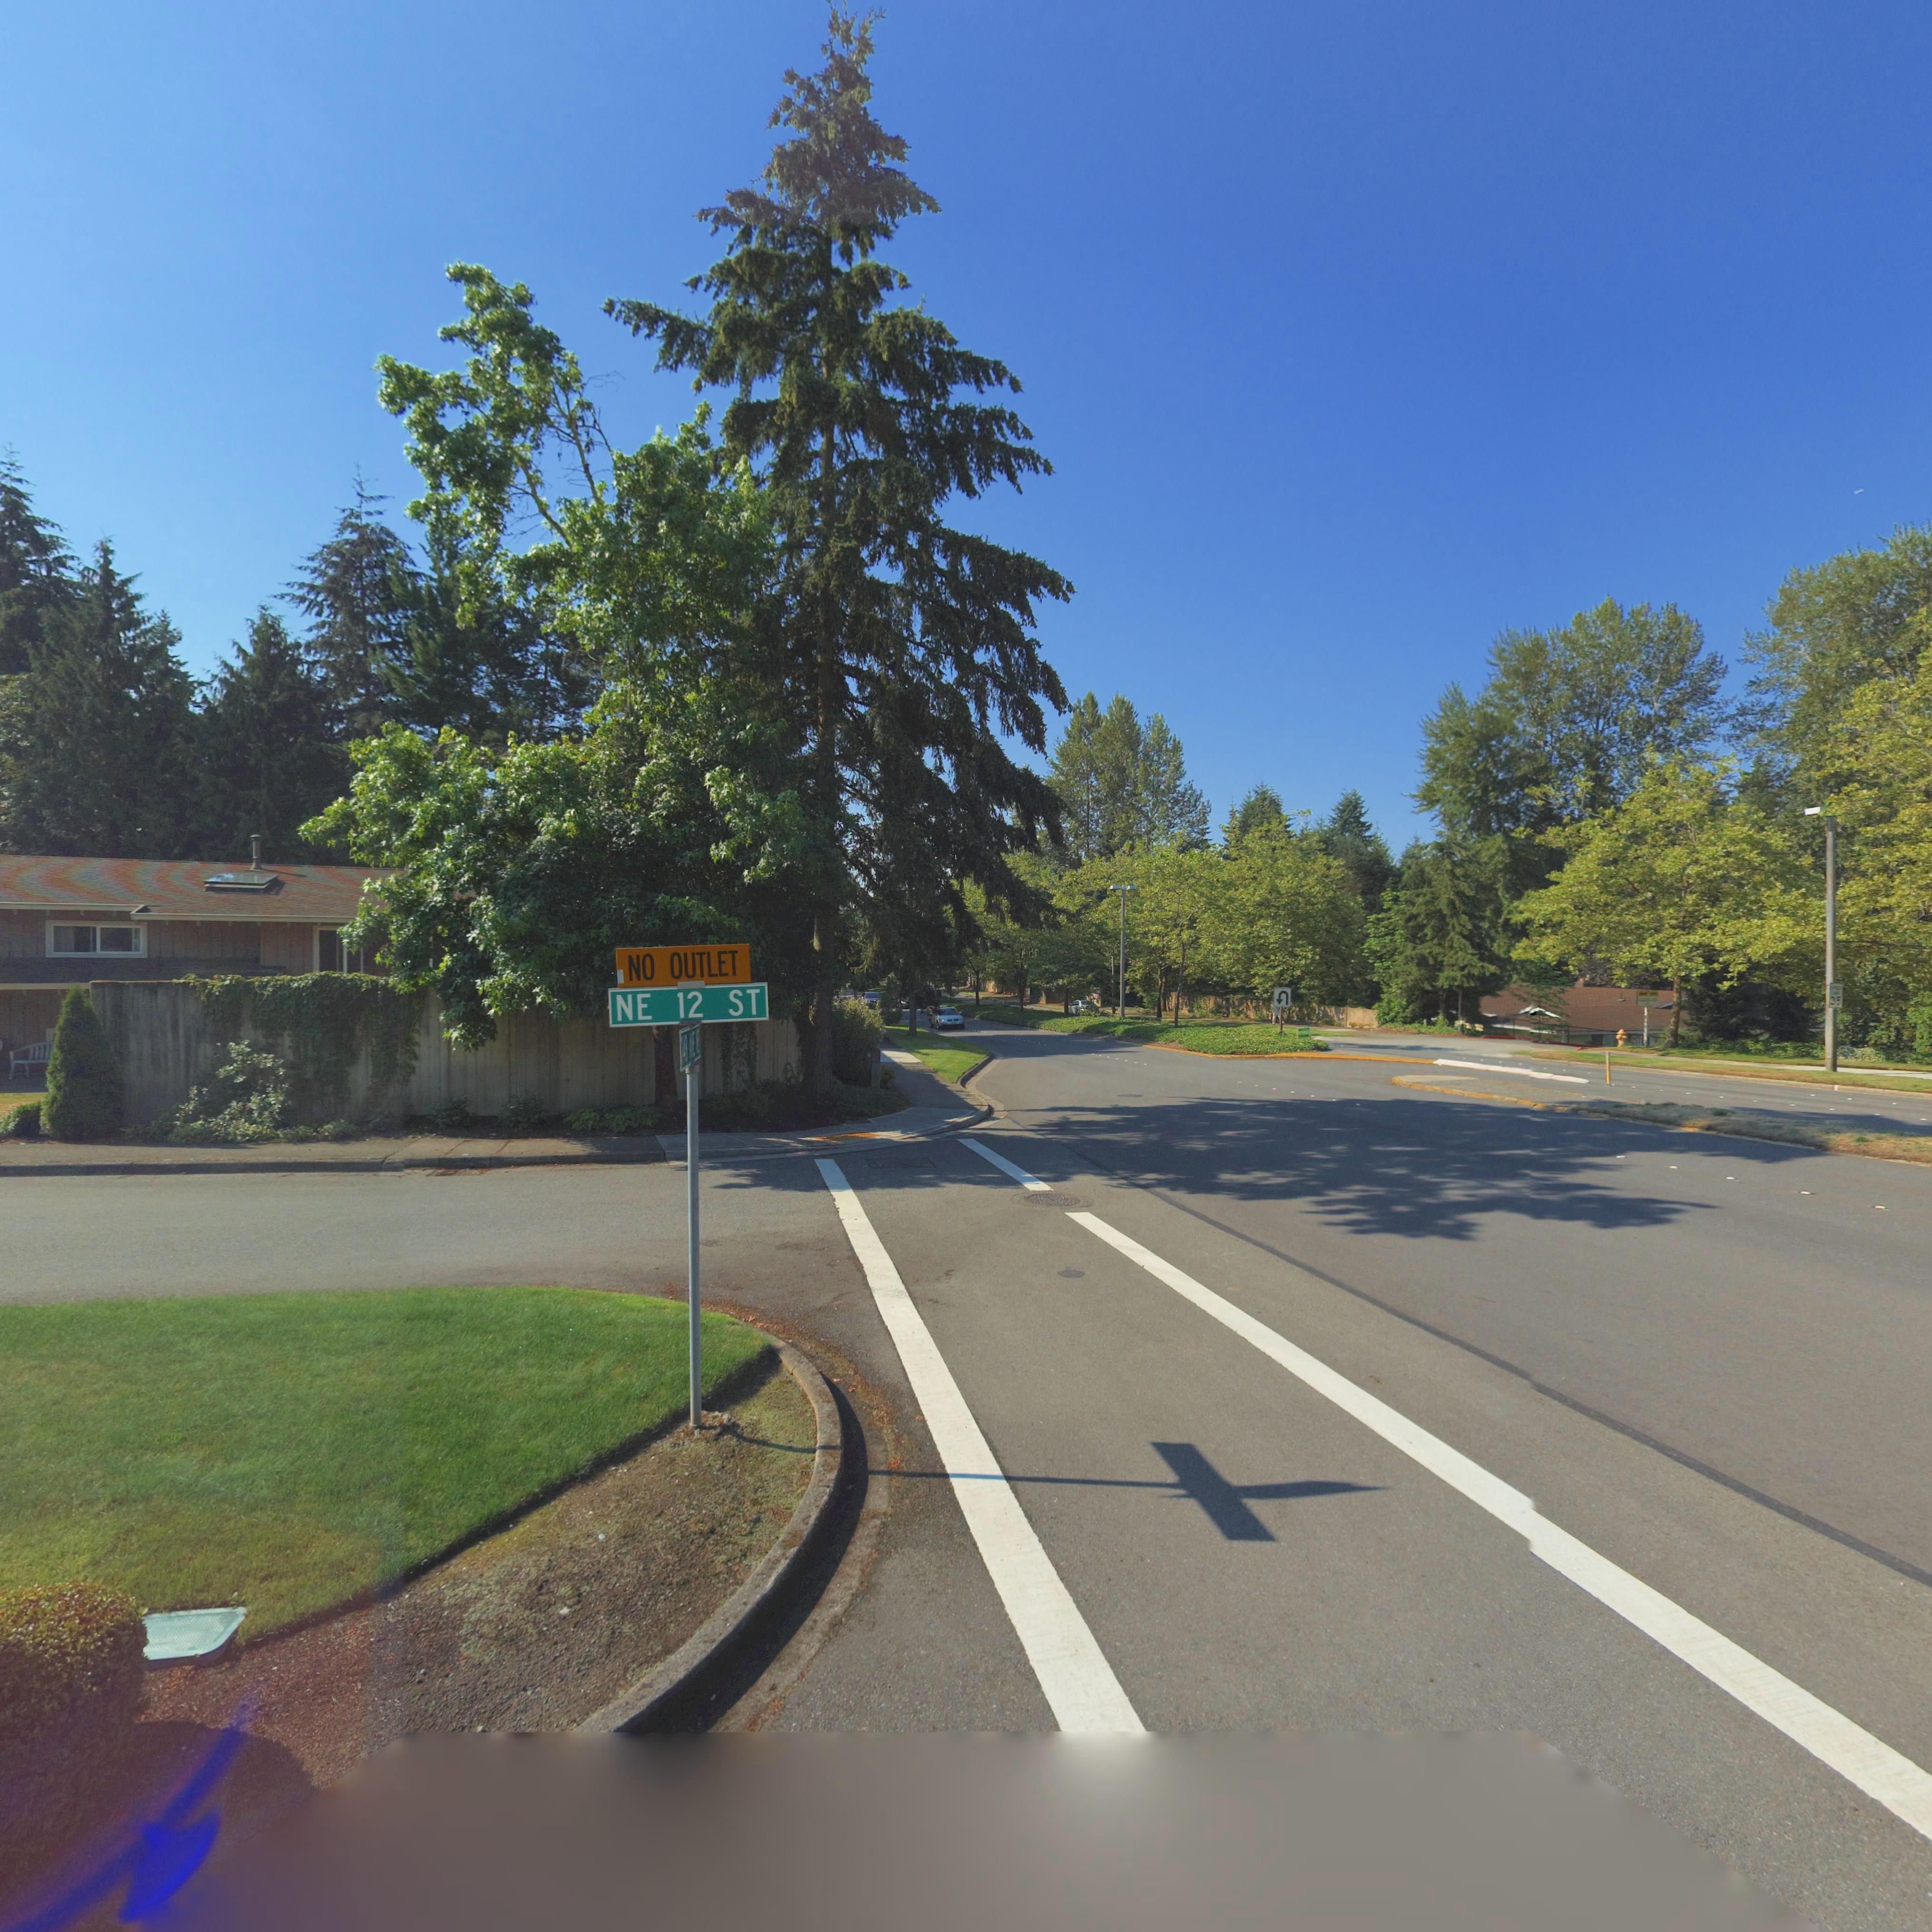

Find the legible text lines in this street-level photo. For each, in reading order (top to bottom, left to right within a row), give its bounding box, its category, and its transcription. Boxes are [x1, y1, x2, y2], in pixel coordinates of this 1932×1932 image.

[616, 989, 760, 1021] StreetName: NE 12 ST